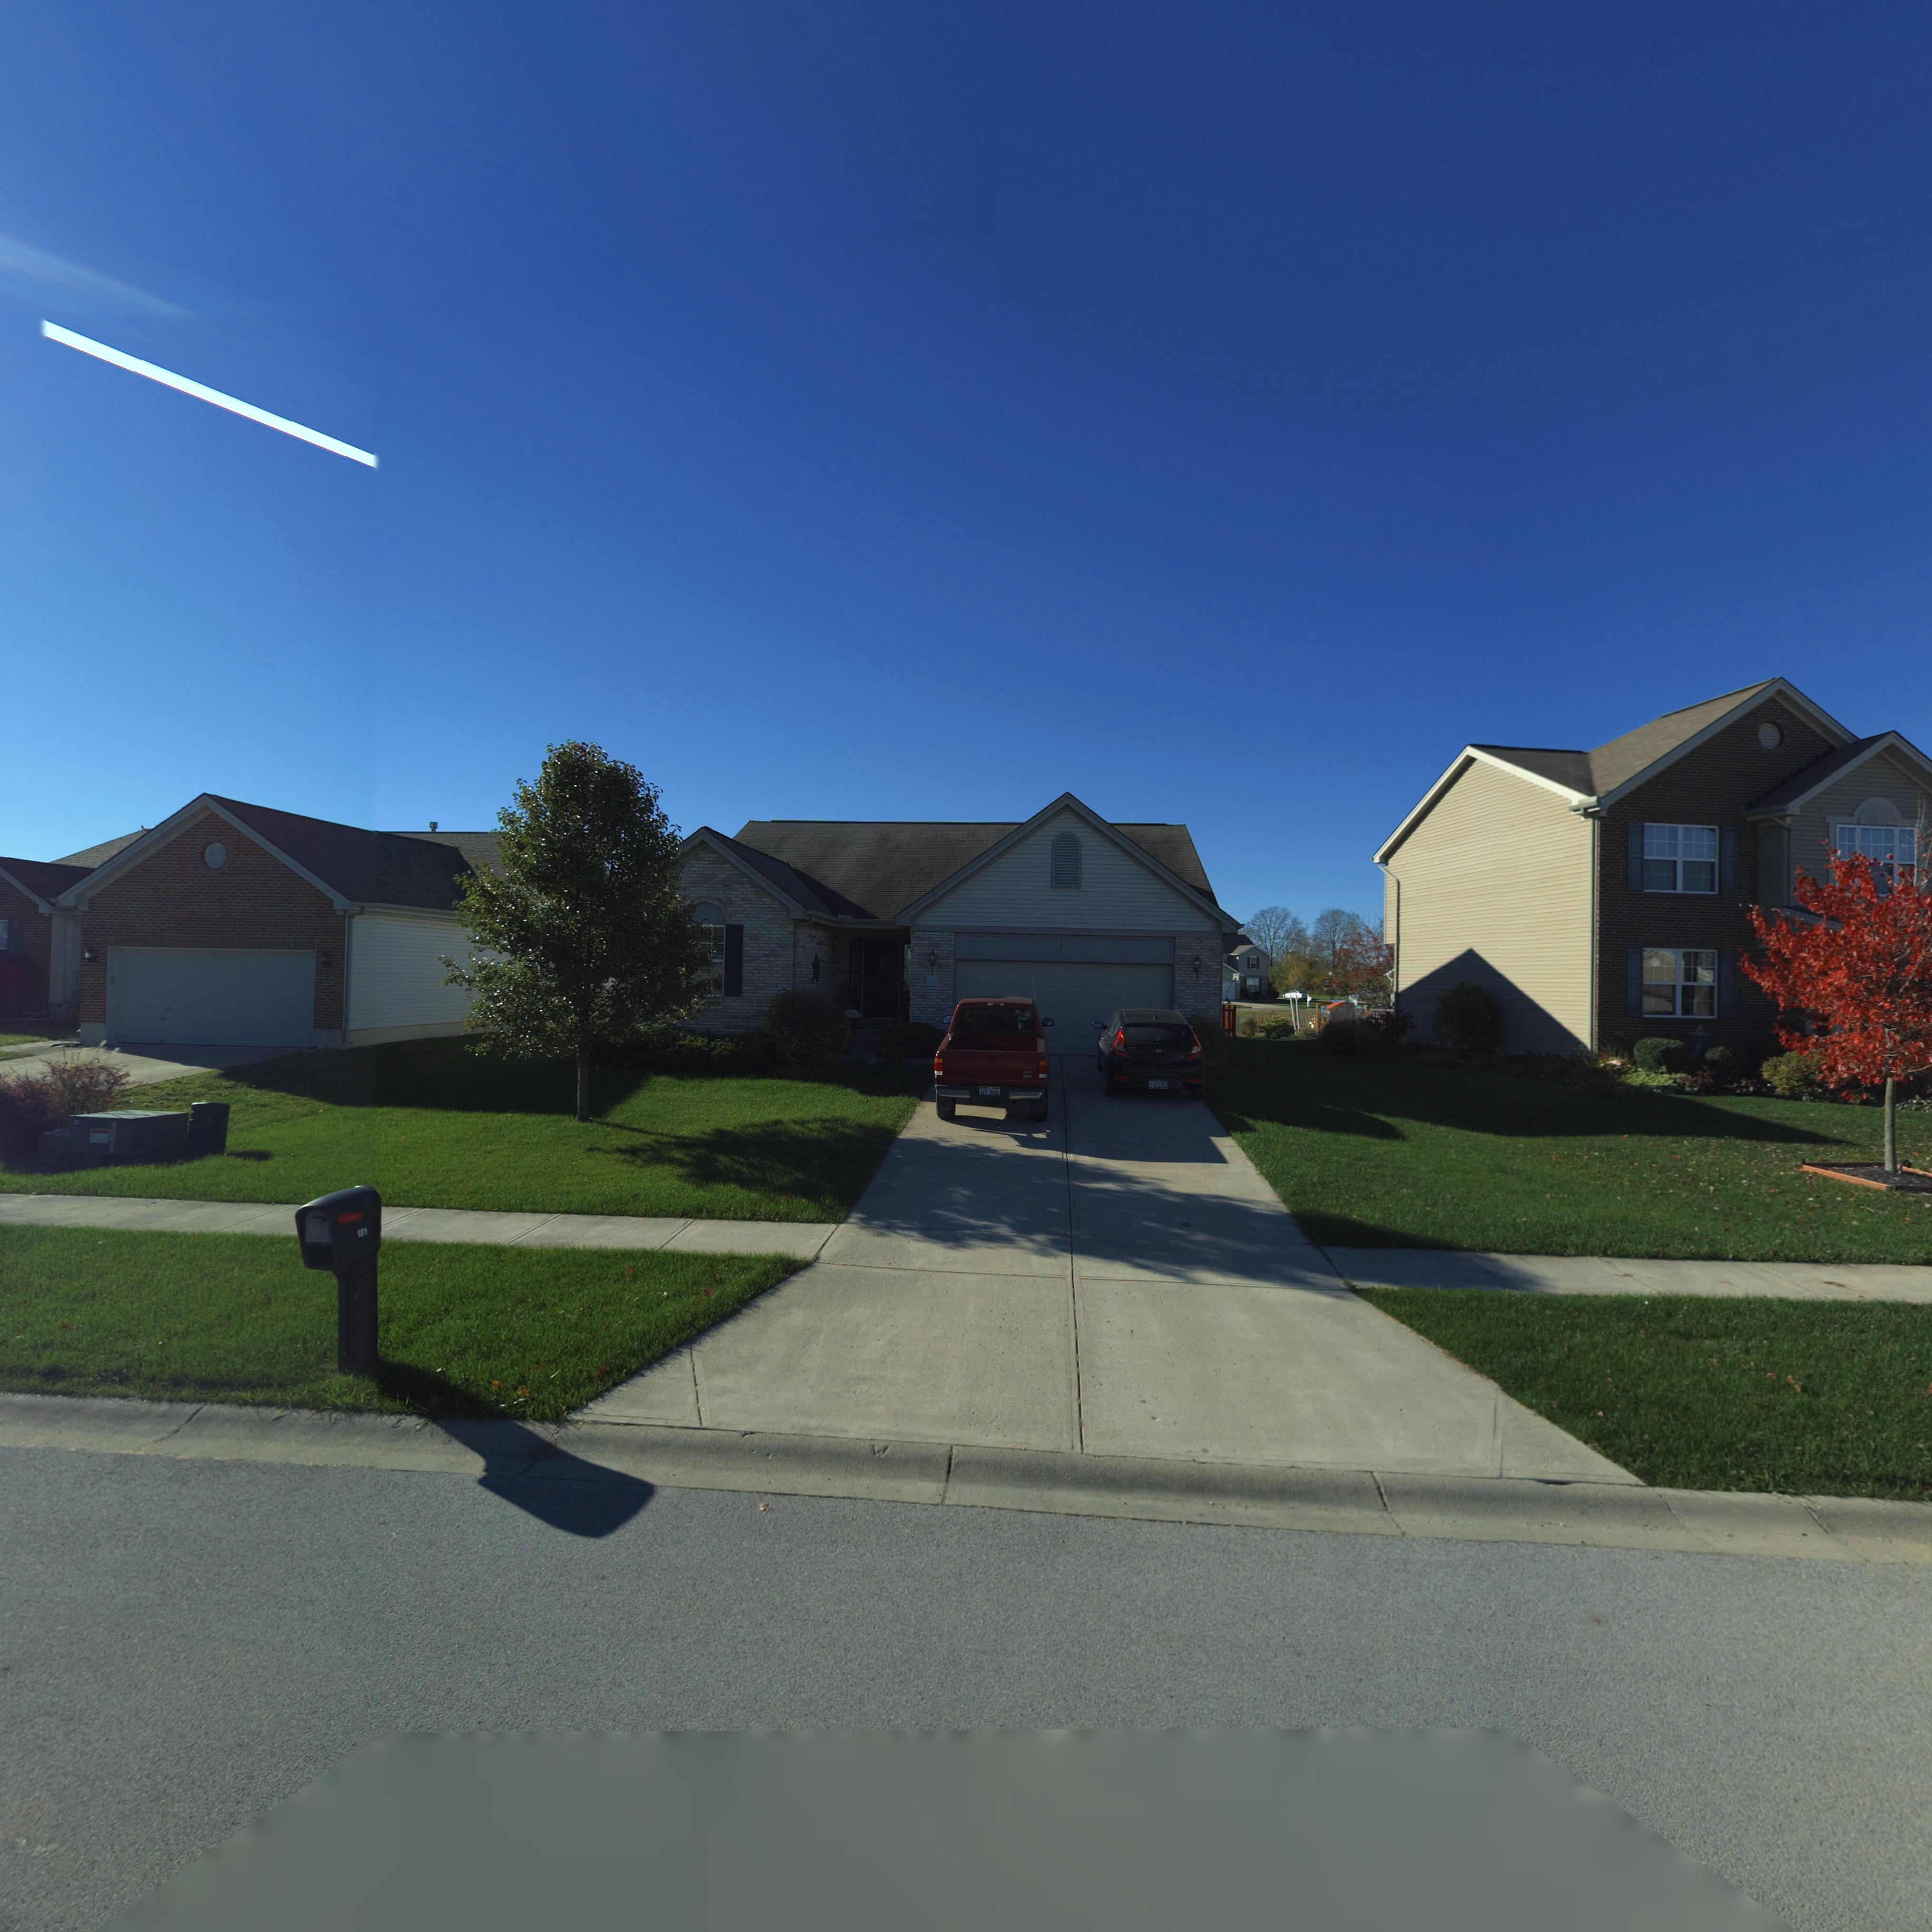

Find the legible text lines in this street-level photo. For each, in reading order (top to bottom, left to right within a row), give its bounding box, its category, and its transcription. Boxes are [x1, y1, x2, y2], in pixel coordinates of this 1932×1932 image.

[927, 978, 937, 985] StreetNumber: 181
[356, 1226, 369, 1239] StreetNumber: 181